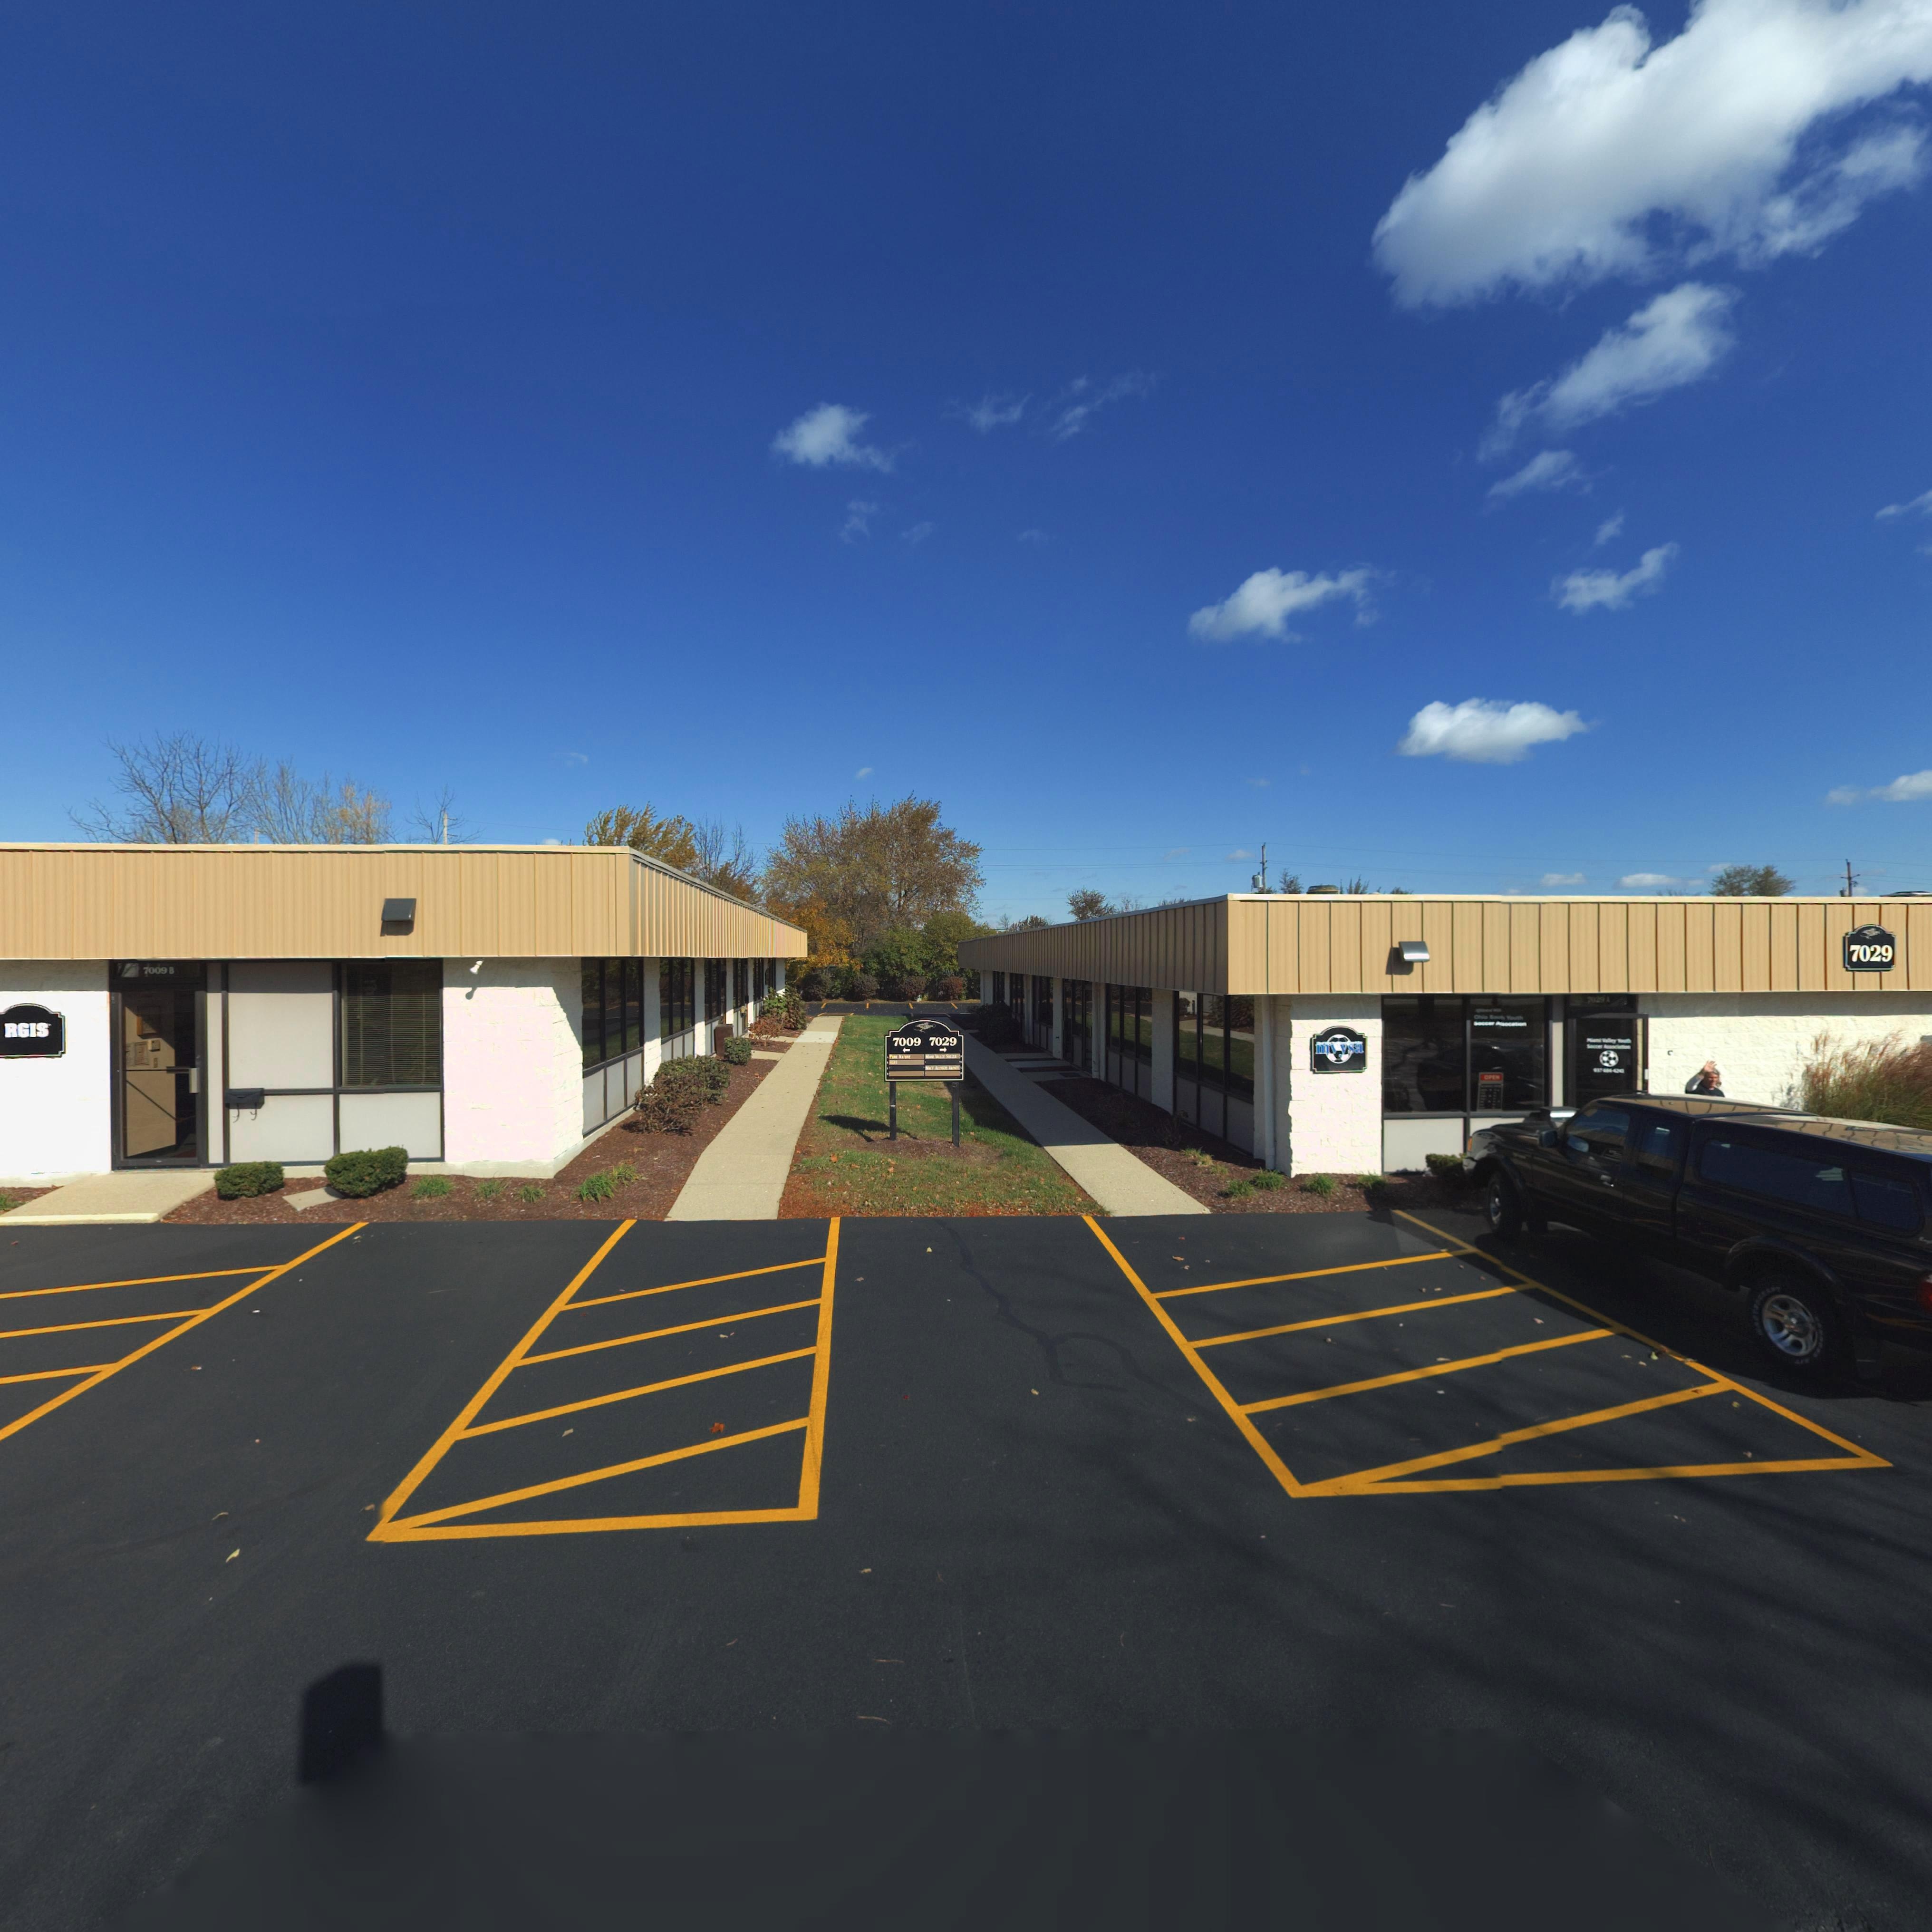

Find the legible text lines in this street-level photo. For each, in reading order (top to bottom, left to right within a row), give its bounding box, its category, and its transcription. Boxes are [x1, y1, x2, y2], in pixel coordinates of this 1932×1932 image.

[1848, 943, 1895, 964] StreetNumber: 7029
[142, 965, 175, 976] StreetNumber: 7009 B
[891, 1036, 923, 1048] StreetNumber: 7009
[927, 1035, 959, 1047] StreetNumber: 7029